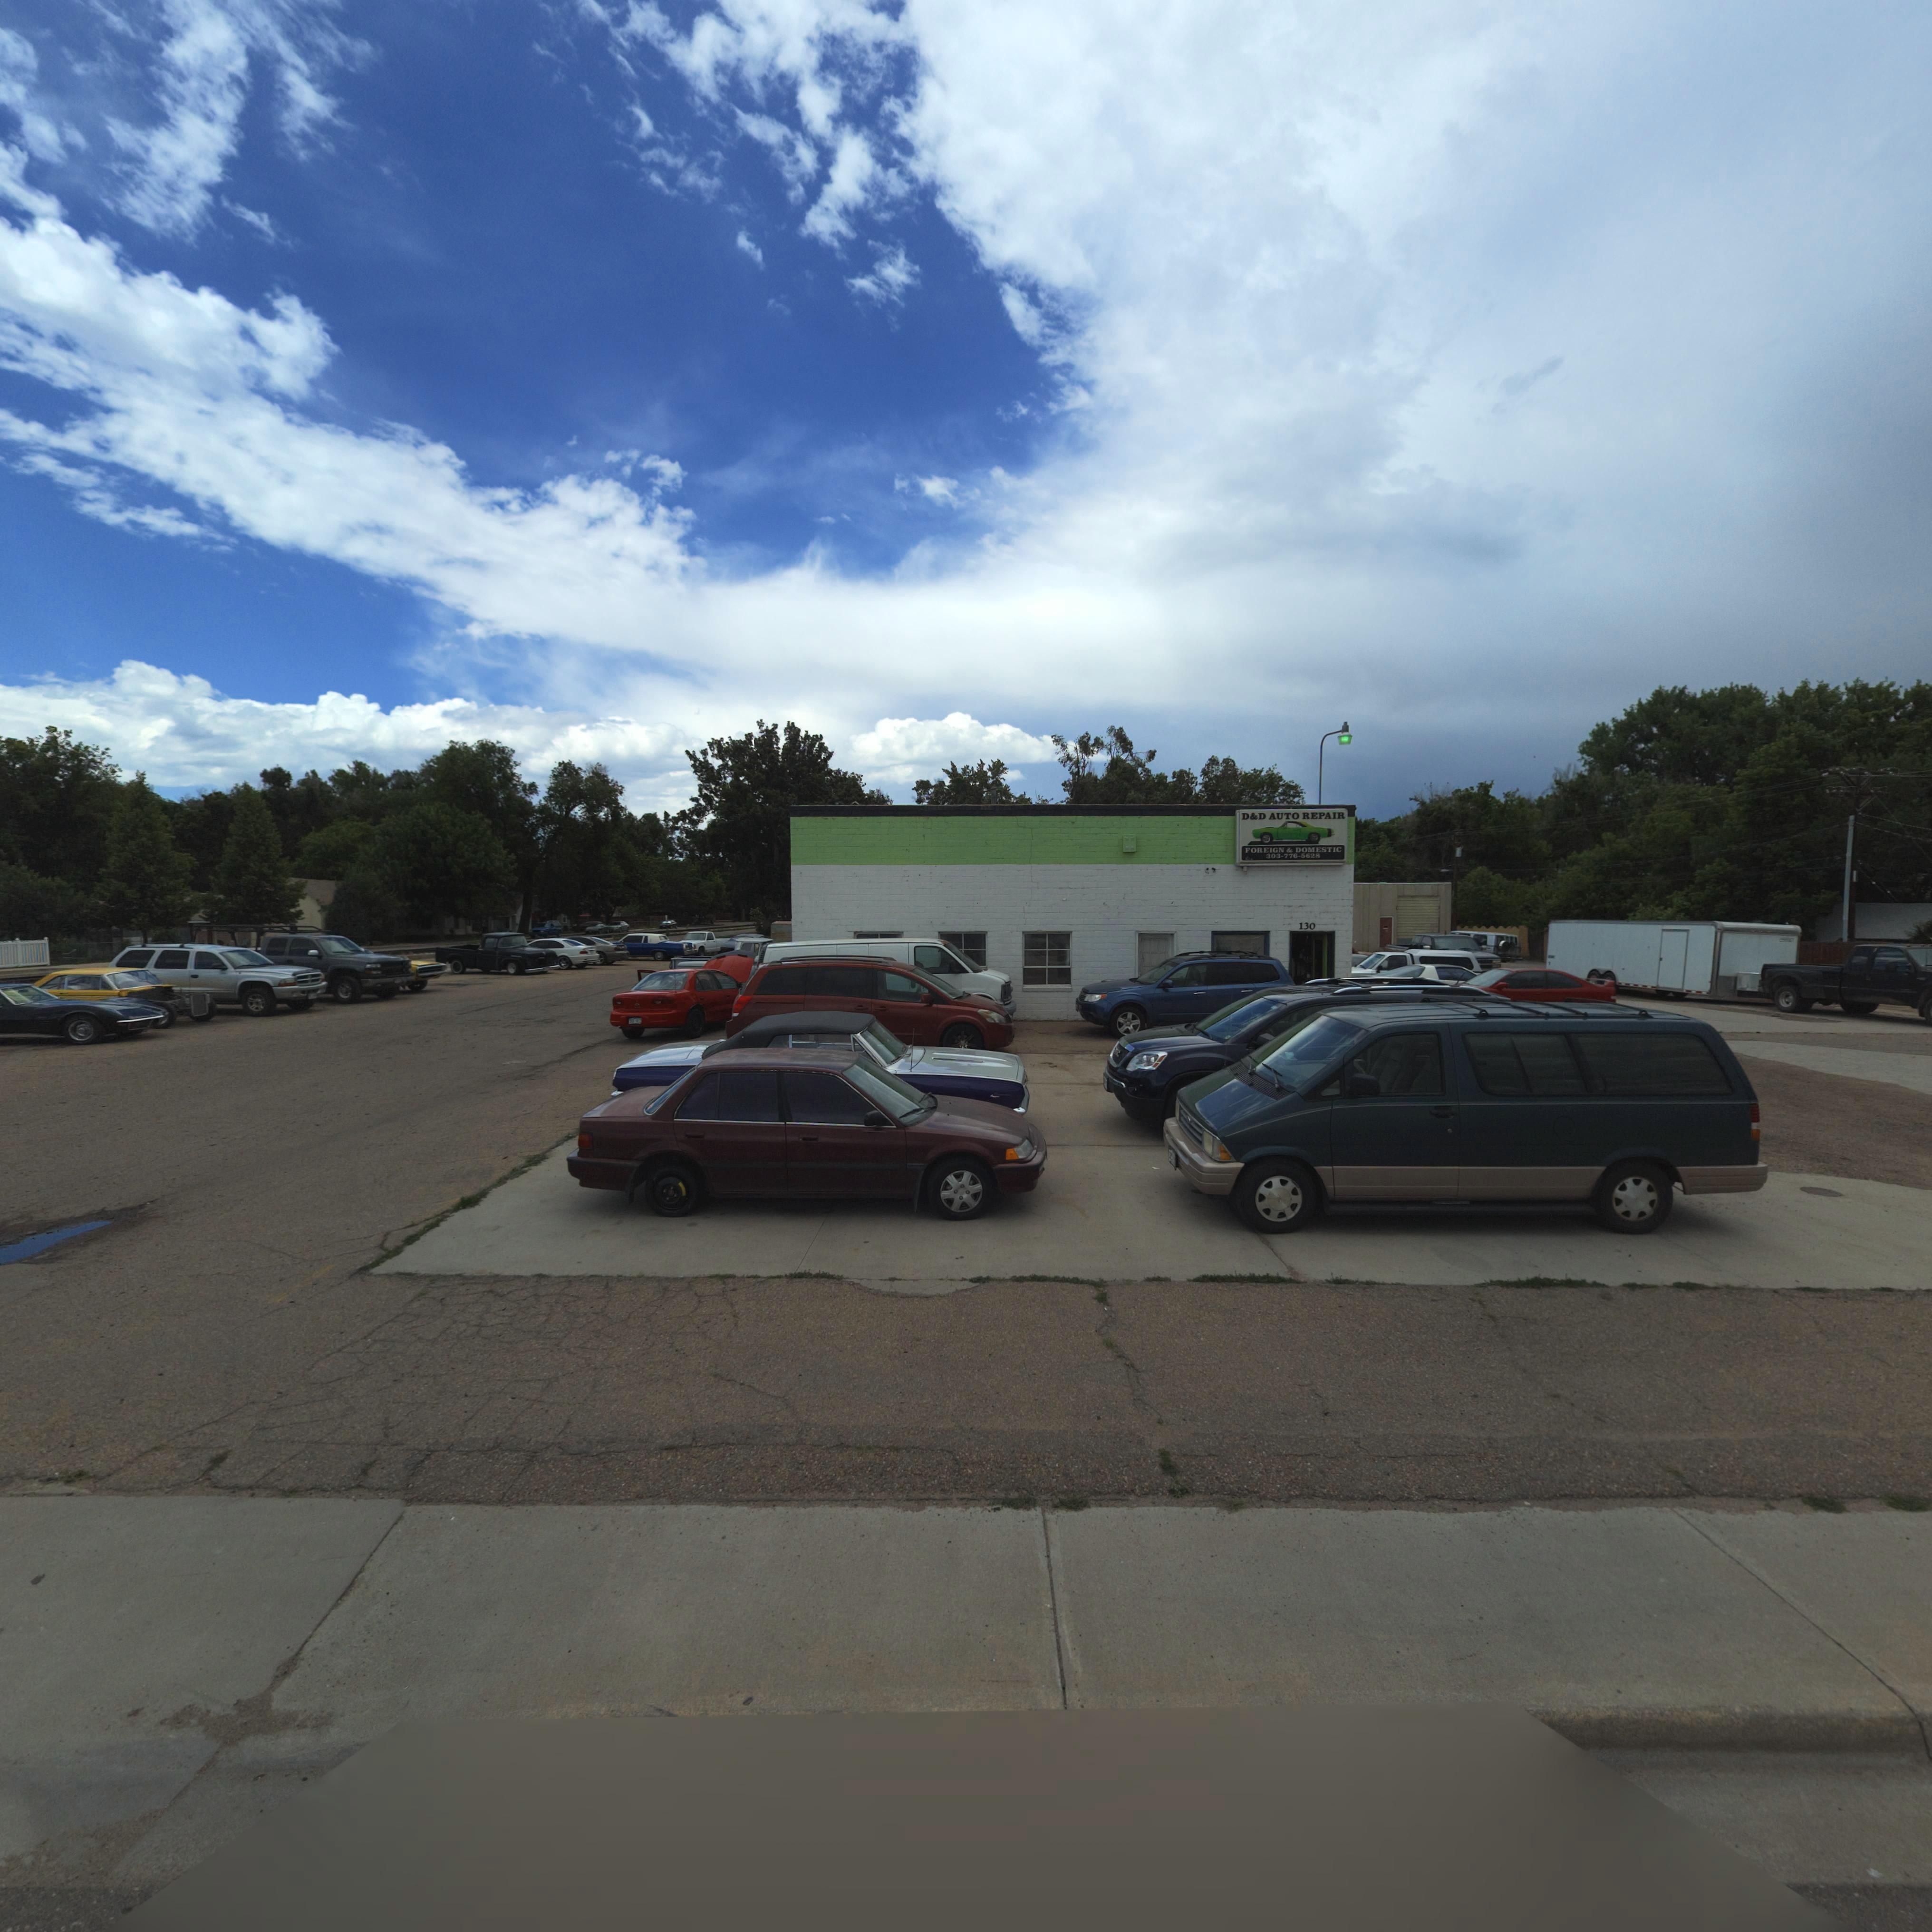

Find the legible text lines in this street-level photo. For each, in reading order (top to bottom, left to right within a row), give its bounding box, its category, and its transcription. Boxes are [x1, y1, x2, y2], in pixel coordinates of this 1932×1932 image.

[1241, 811, 1345, 820] BusinessName: D&D AUTO REPAIR
[1298, 921, 1315, 930] StreetNumber: 130